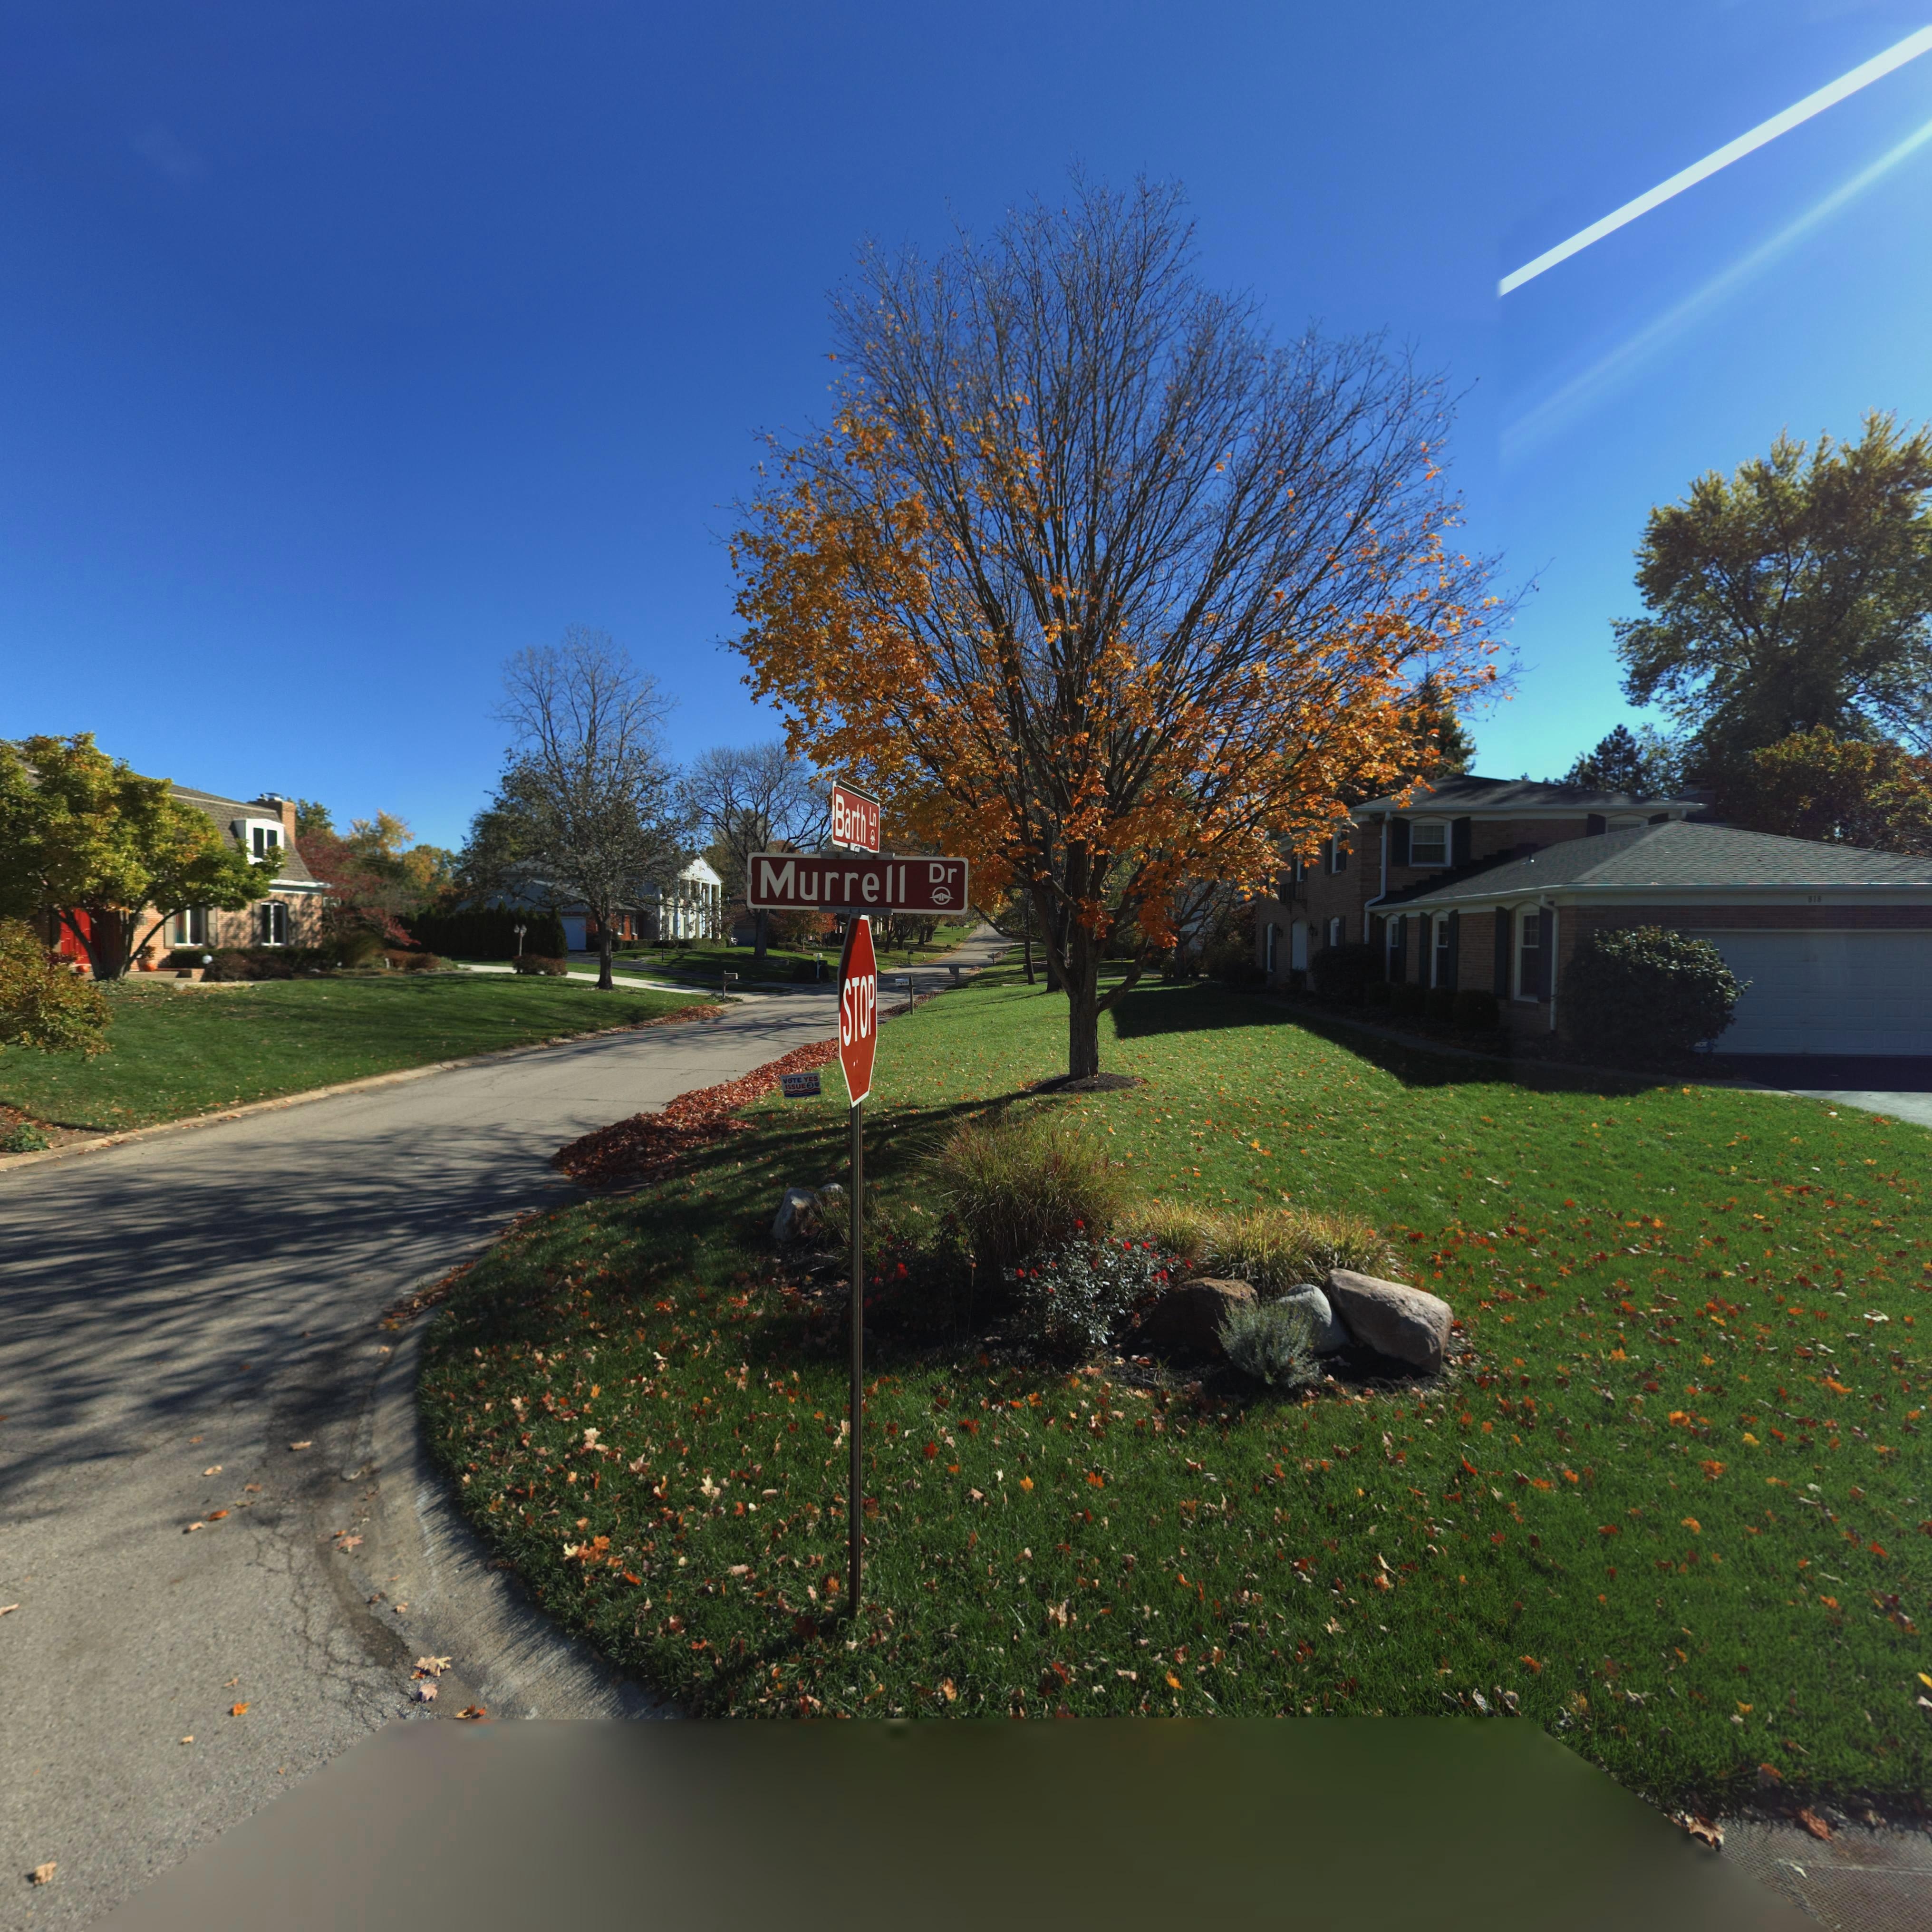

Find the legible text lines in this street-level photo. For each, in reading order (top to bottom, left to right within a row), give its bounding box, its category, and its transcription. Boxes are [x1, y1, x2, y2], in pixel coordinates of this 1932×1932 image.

[1806, 894, 1823, 904] StreetNumber: 818